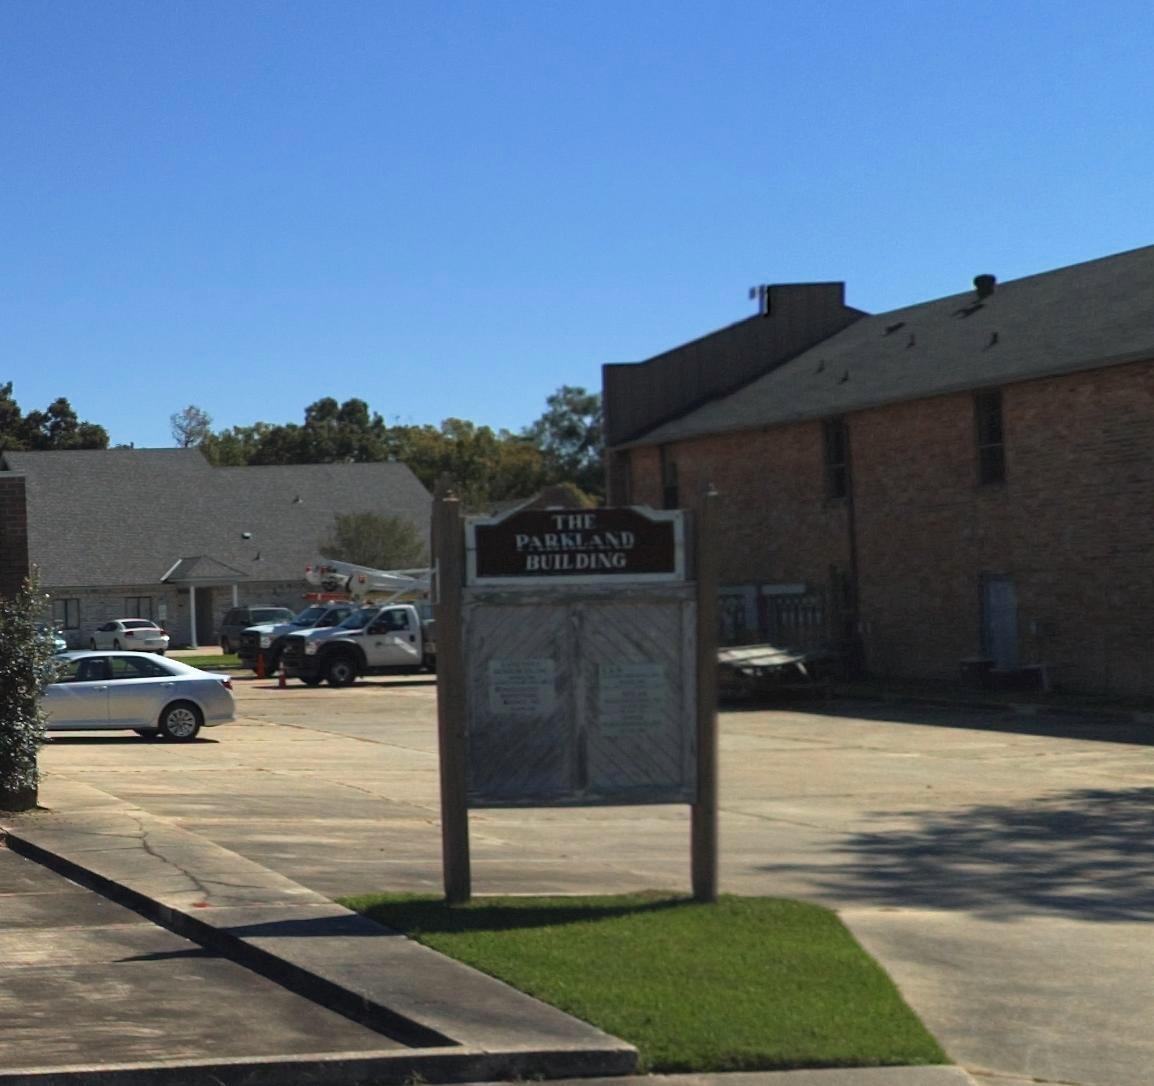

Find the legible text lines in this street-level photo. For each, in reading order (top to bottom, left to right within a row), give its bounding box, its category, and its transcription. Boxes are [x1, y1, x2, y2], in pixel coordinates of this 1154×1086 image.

[549, 511, 599, 532] BusinessName: THE
[512, 529, 639, 554] BusinessName: PARKLAND
[523, 549, 630, 572] BusinessName: BUILDING